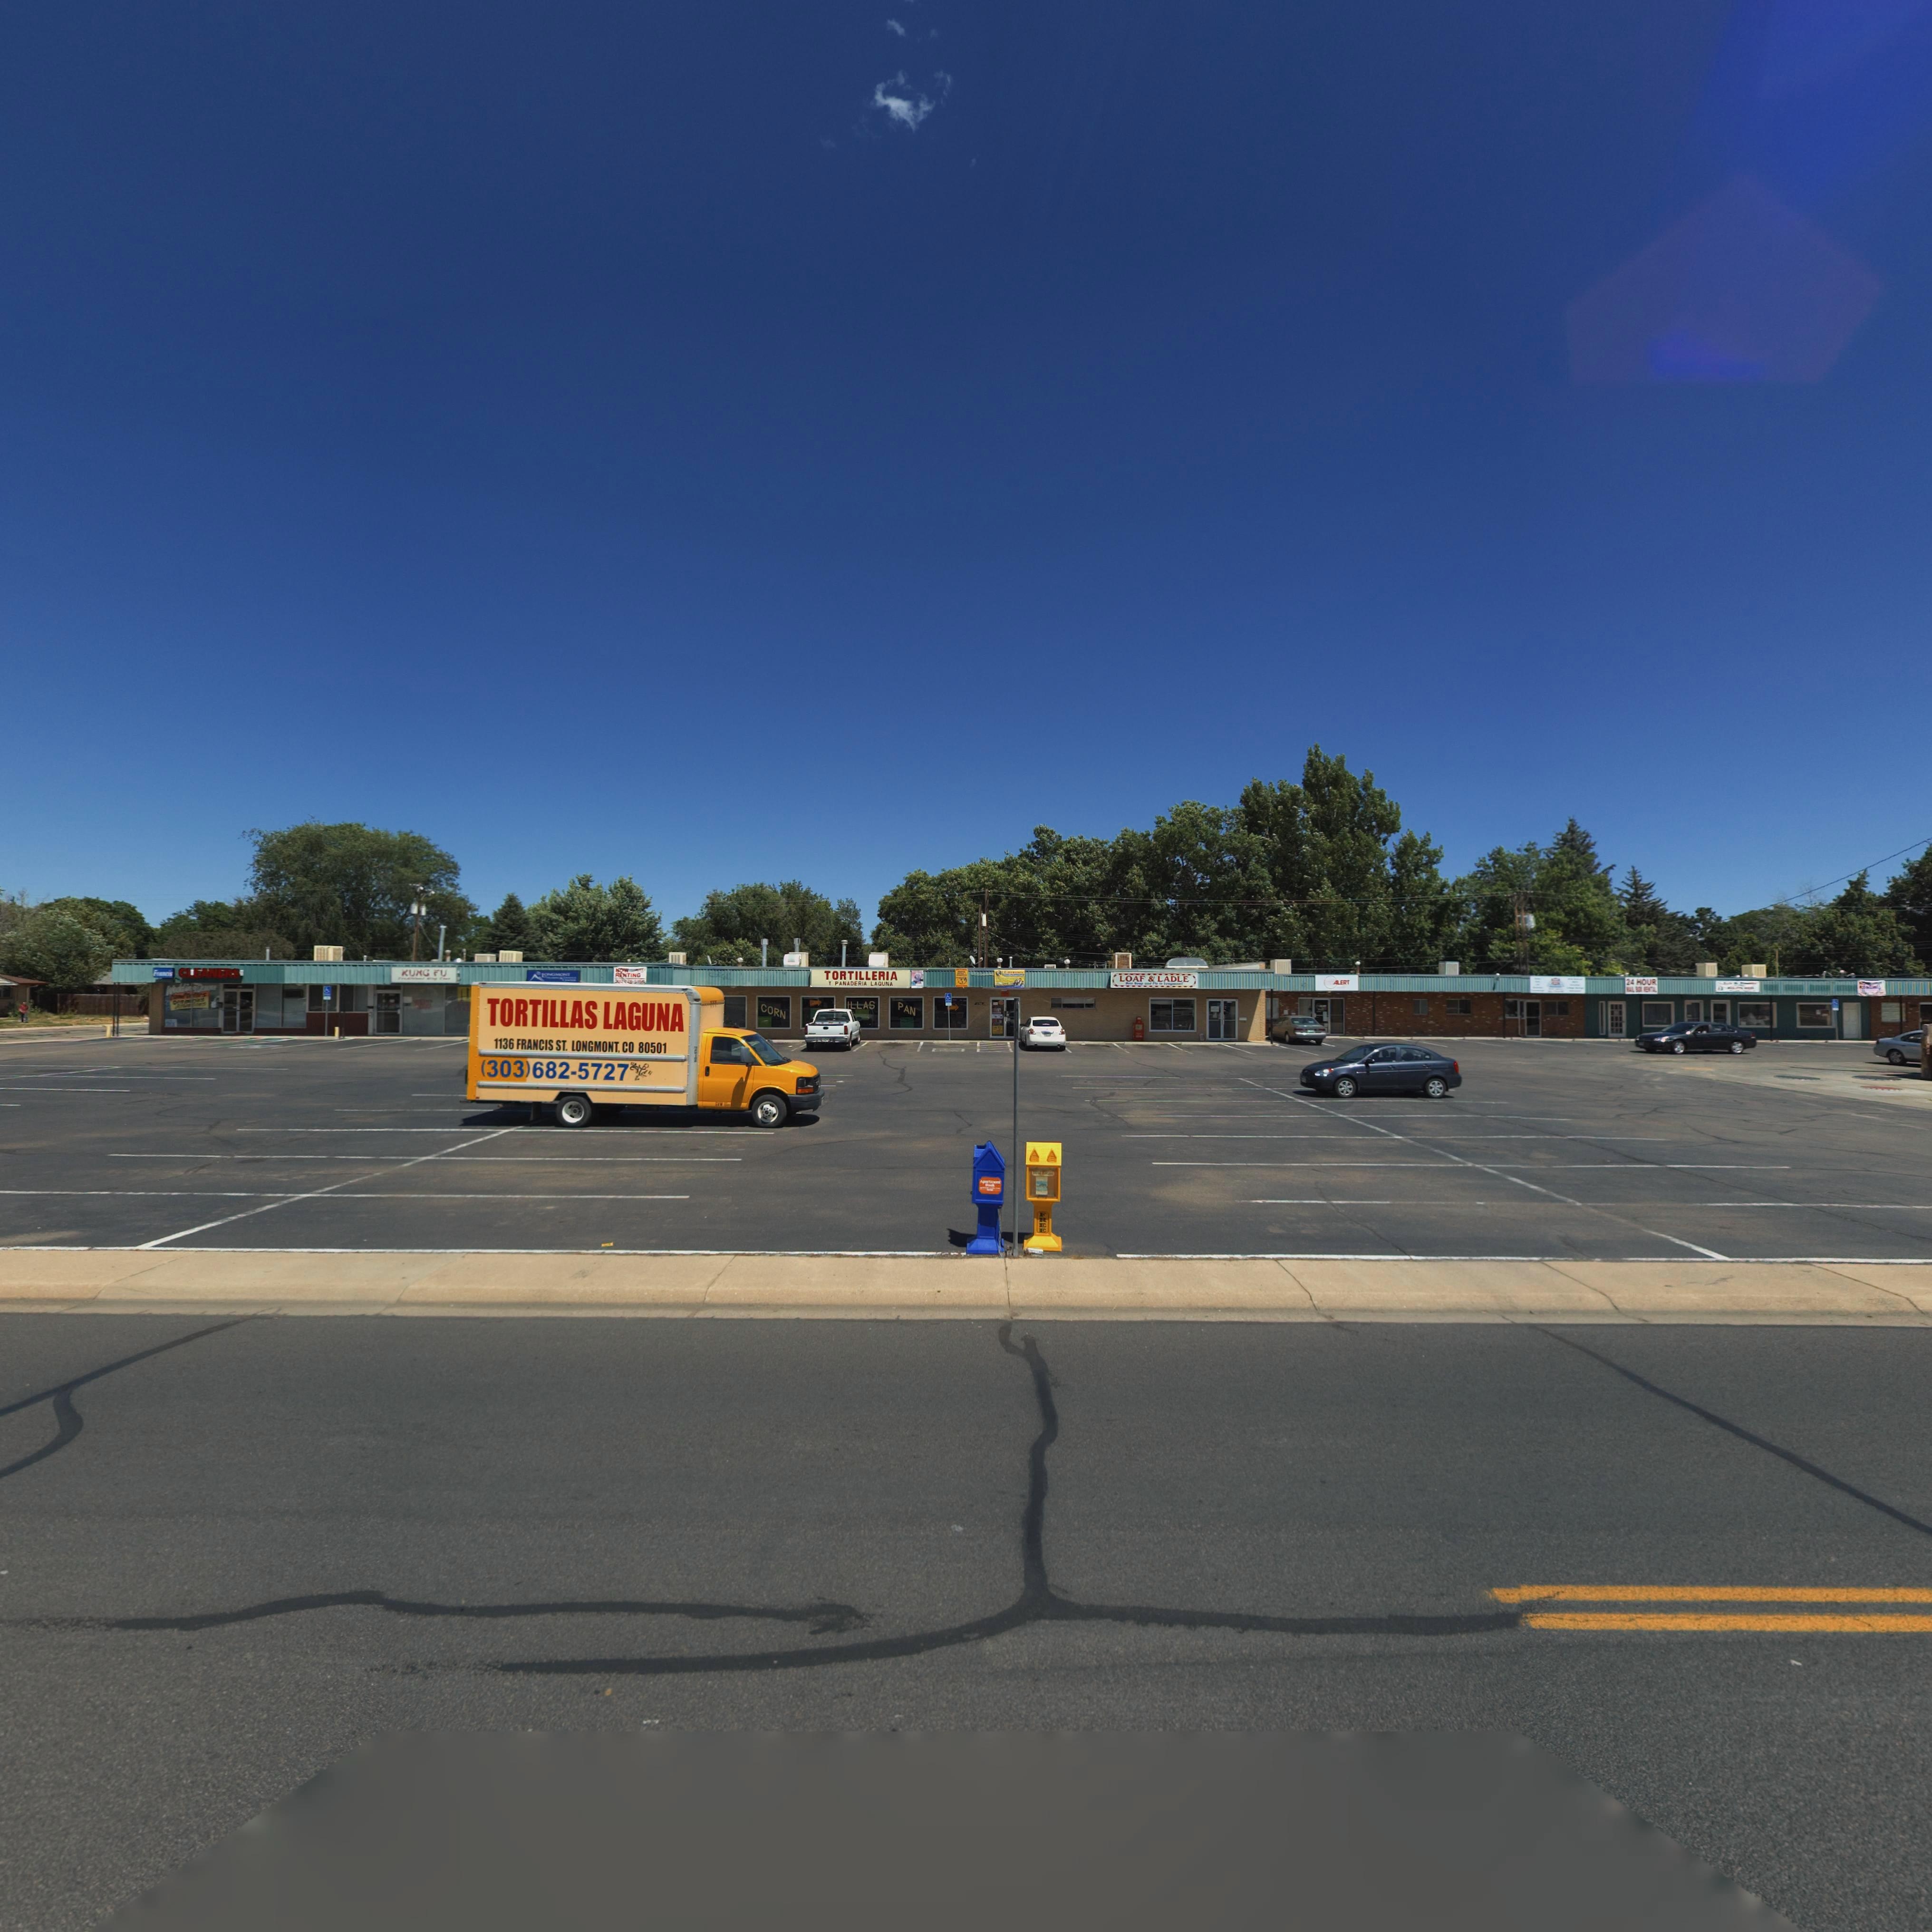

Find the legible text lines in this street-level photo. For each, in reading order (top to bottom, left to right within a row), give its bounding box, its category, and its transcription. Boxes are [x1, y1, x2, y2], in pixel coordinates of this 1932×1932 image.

[153, 969, 173, 976] BusinessName: F****is
[178, 968, 240, 978] BusinessName: CLEANERS
[401, 968, 447, 976] BusinessName: KUNG FU
[541, 973, 570, 977] BusinessName: LON*MONT
[828, 980, 893, 986] BusinessName: Y PANADERIA LAGUNA
[824, 970, 898, 980] BusinessName: TORTILLERIA
[1119, 975, 1189, 982] BusinessName: LOAF & LADLE
[1333, 979, 1350, 985] BusinessName: ALERT
[1626, 978, 1656, 985] BusinessName: 24 HOUR
[1626, 986, 1657, 992] BusinessName: ***L B** *ENT*L